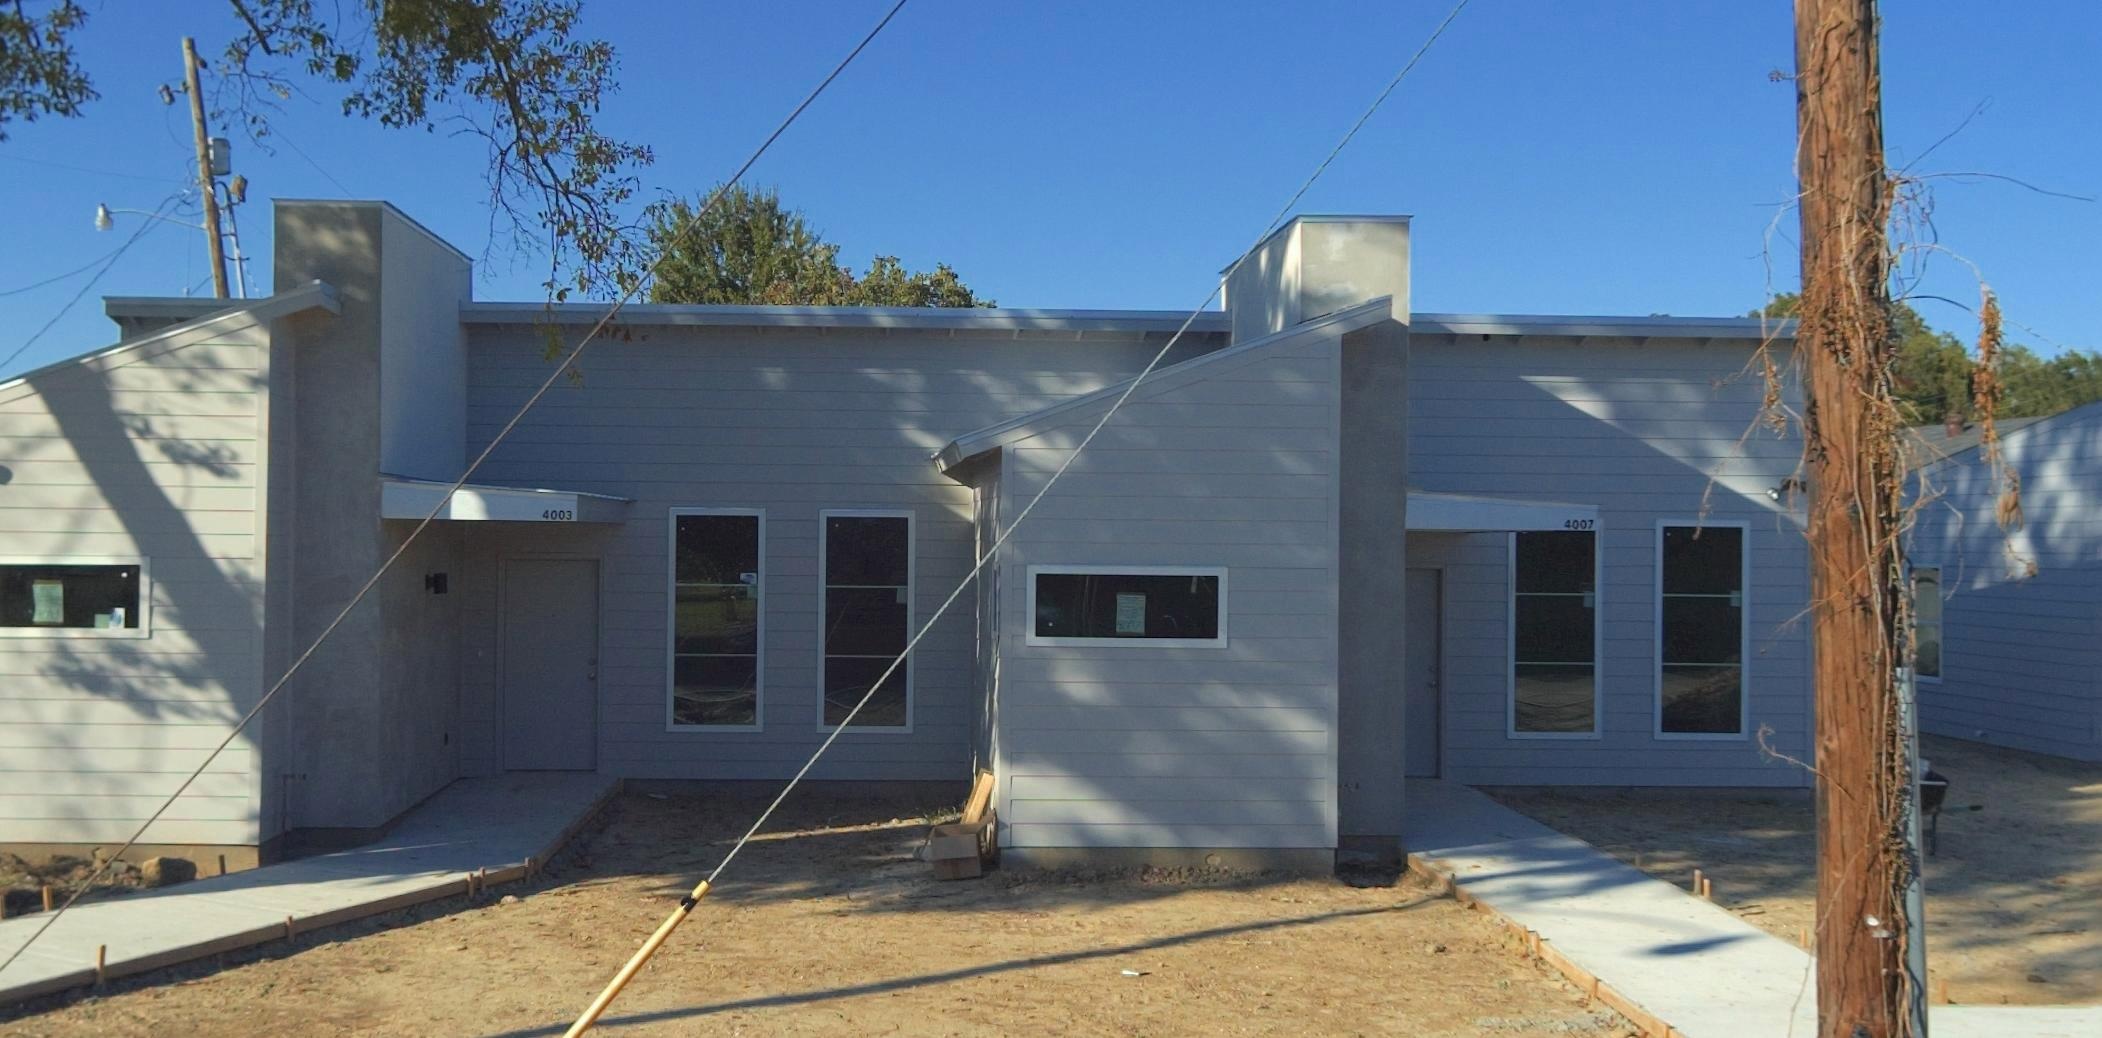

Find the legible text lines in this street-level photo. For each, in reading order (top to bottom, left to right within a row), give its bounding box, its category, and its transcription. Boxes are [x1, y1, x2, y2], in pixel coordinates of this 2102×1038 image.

[540, 507, 575, 523] StreetNumber: 4003
[1561, 517, 1597, 531] StreetNumber: 4007